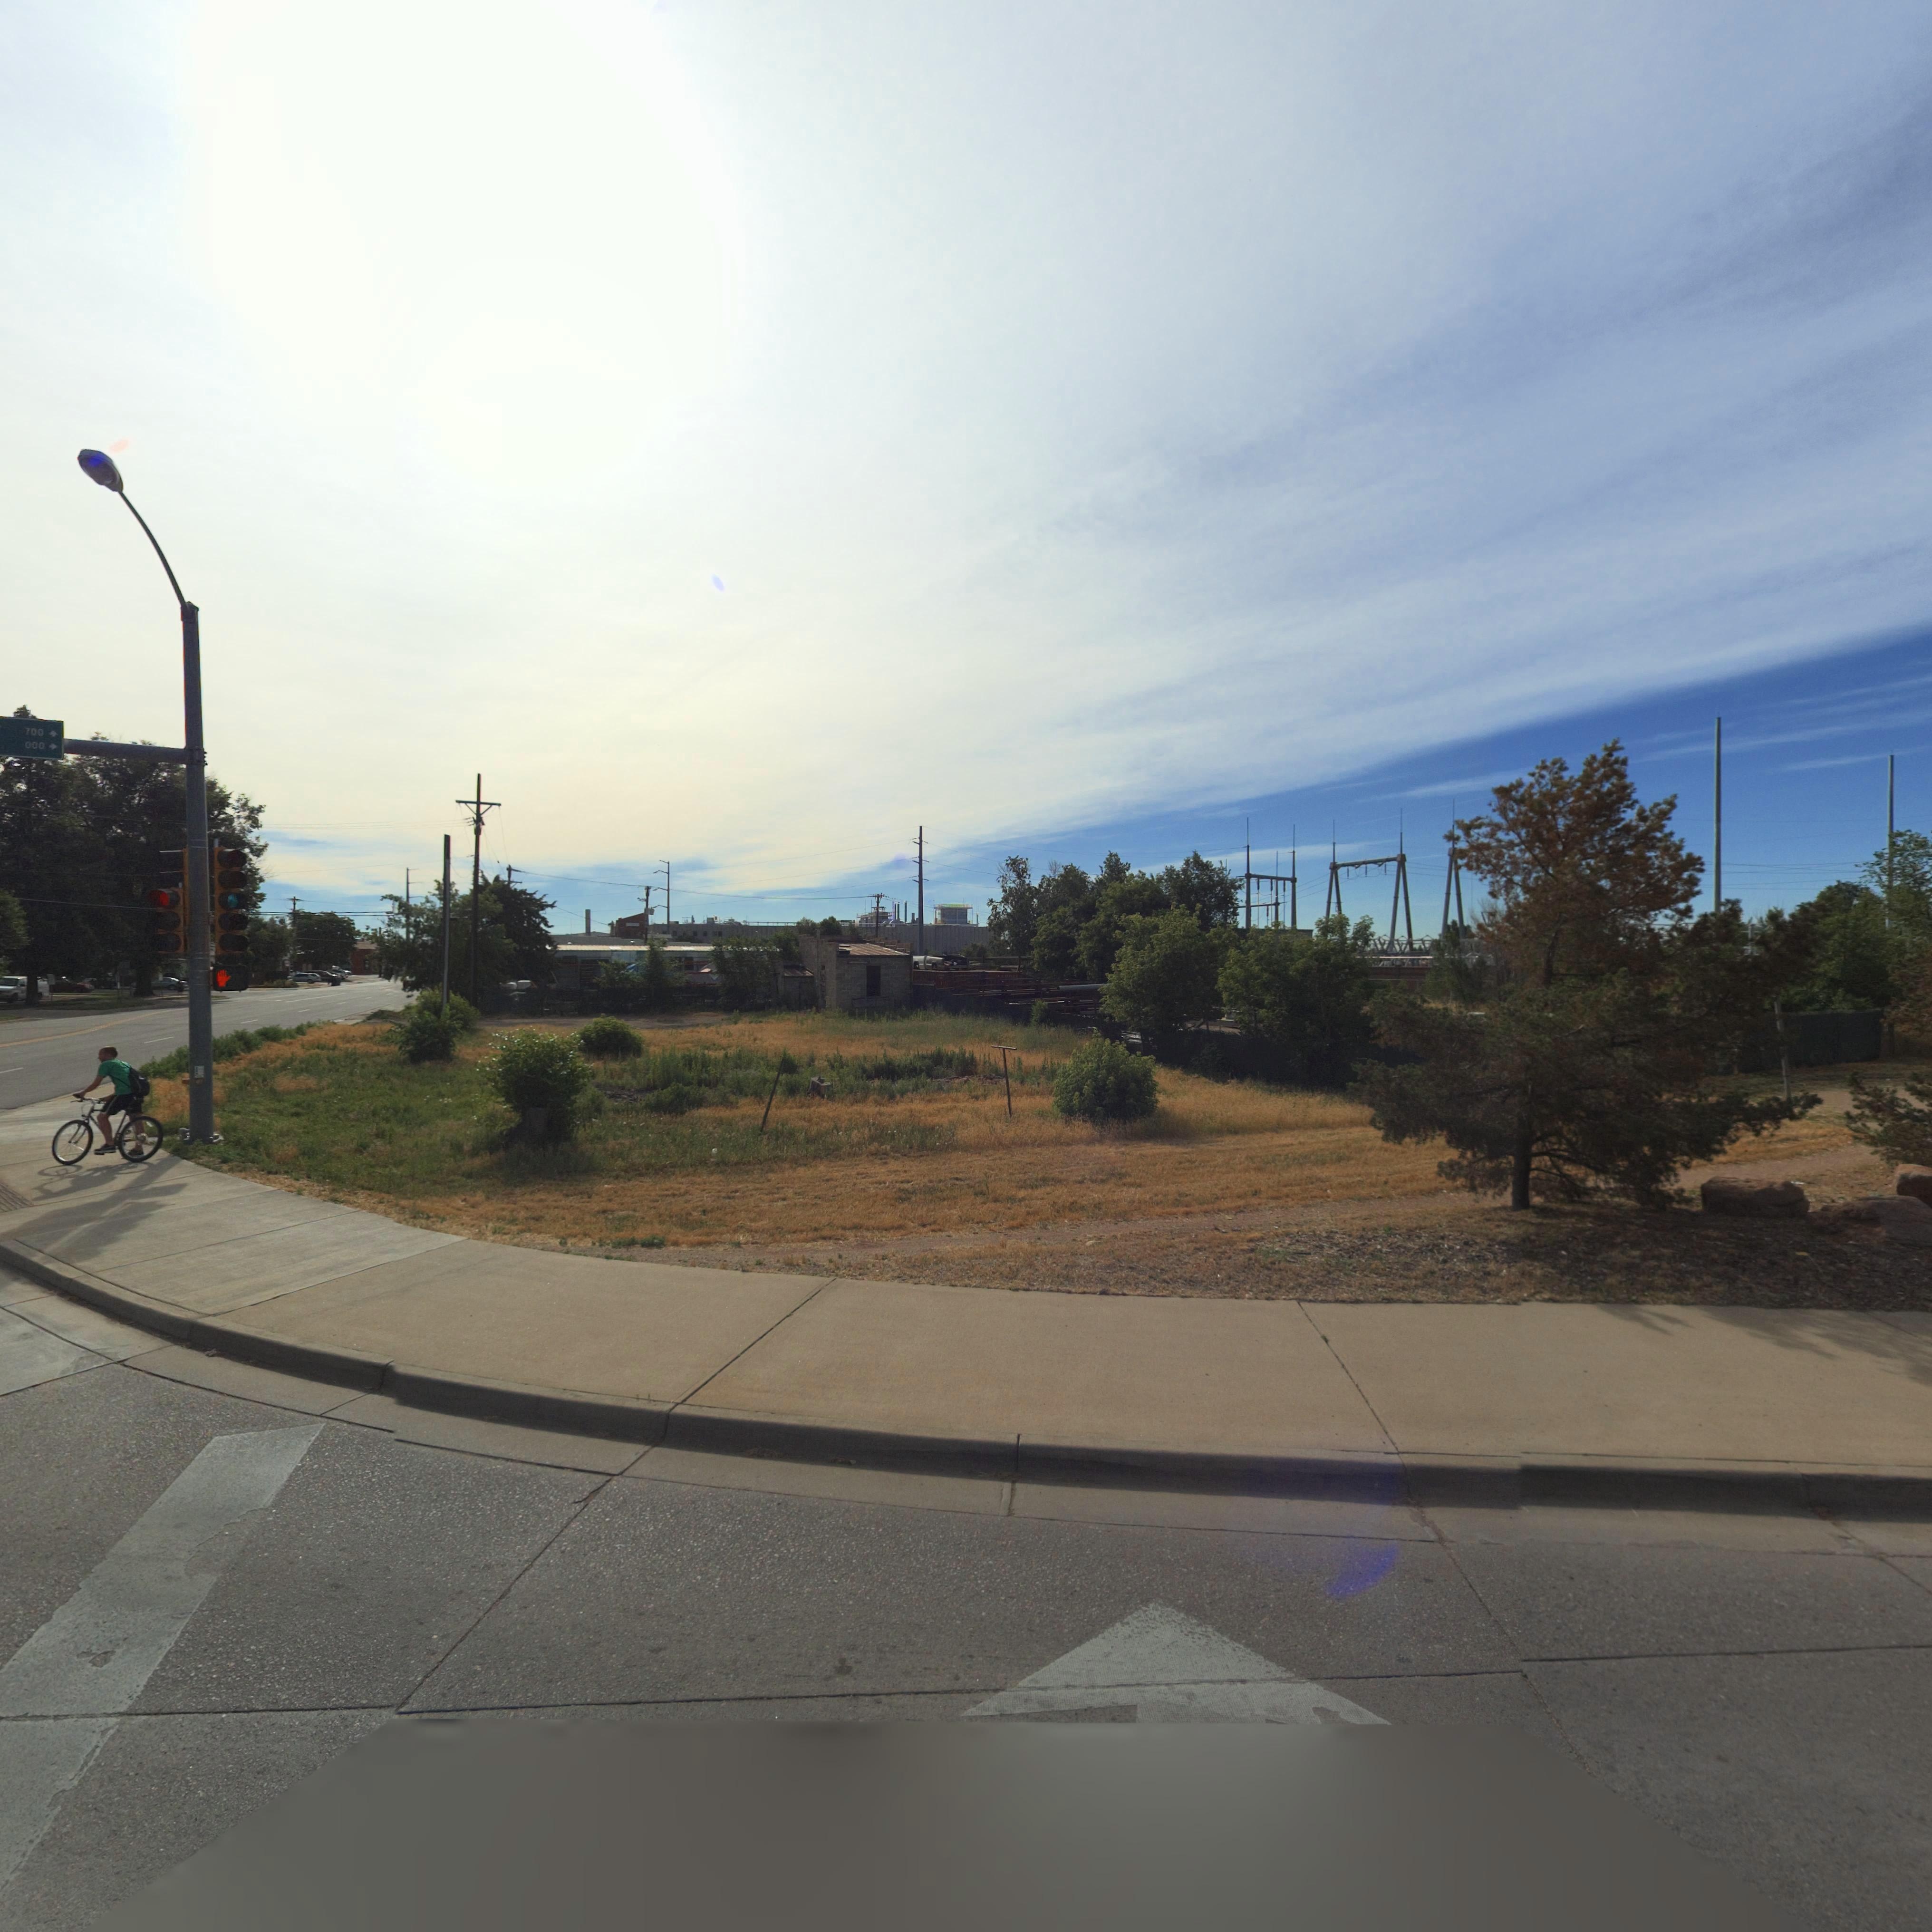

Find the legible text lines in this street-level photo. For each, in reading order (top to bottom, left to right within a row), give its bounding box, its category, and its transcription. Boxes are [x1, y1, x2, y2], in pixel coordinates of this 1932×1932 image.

[24, 727, 45, 736] StreetNumberRange: 700
[24, 740, 58, 751] StreetNumberRange: 000->